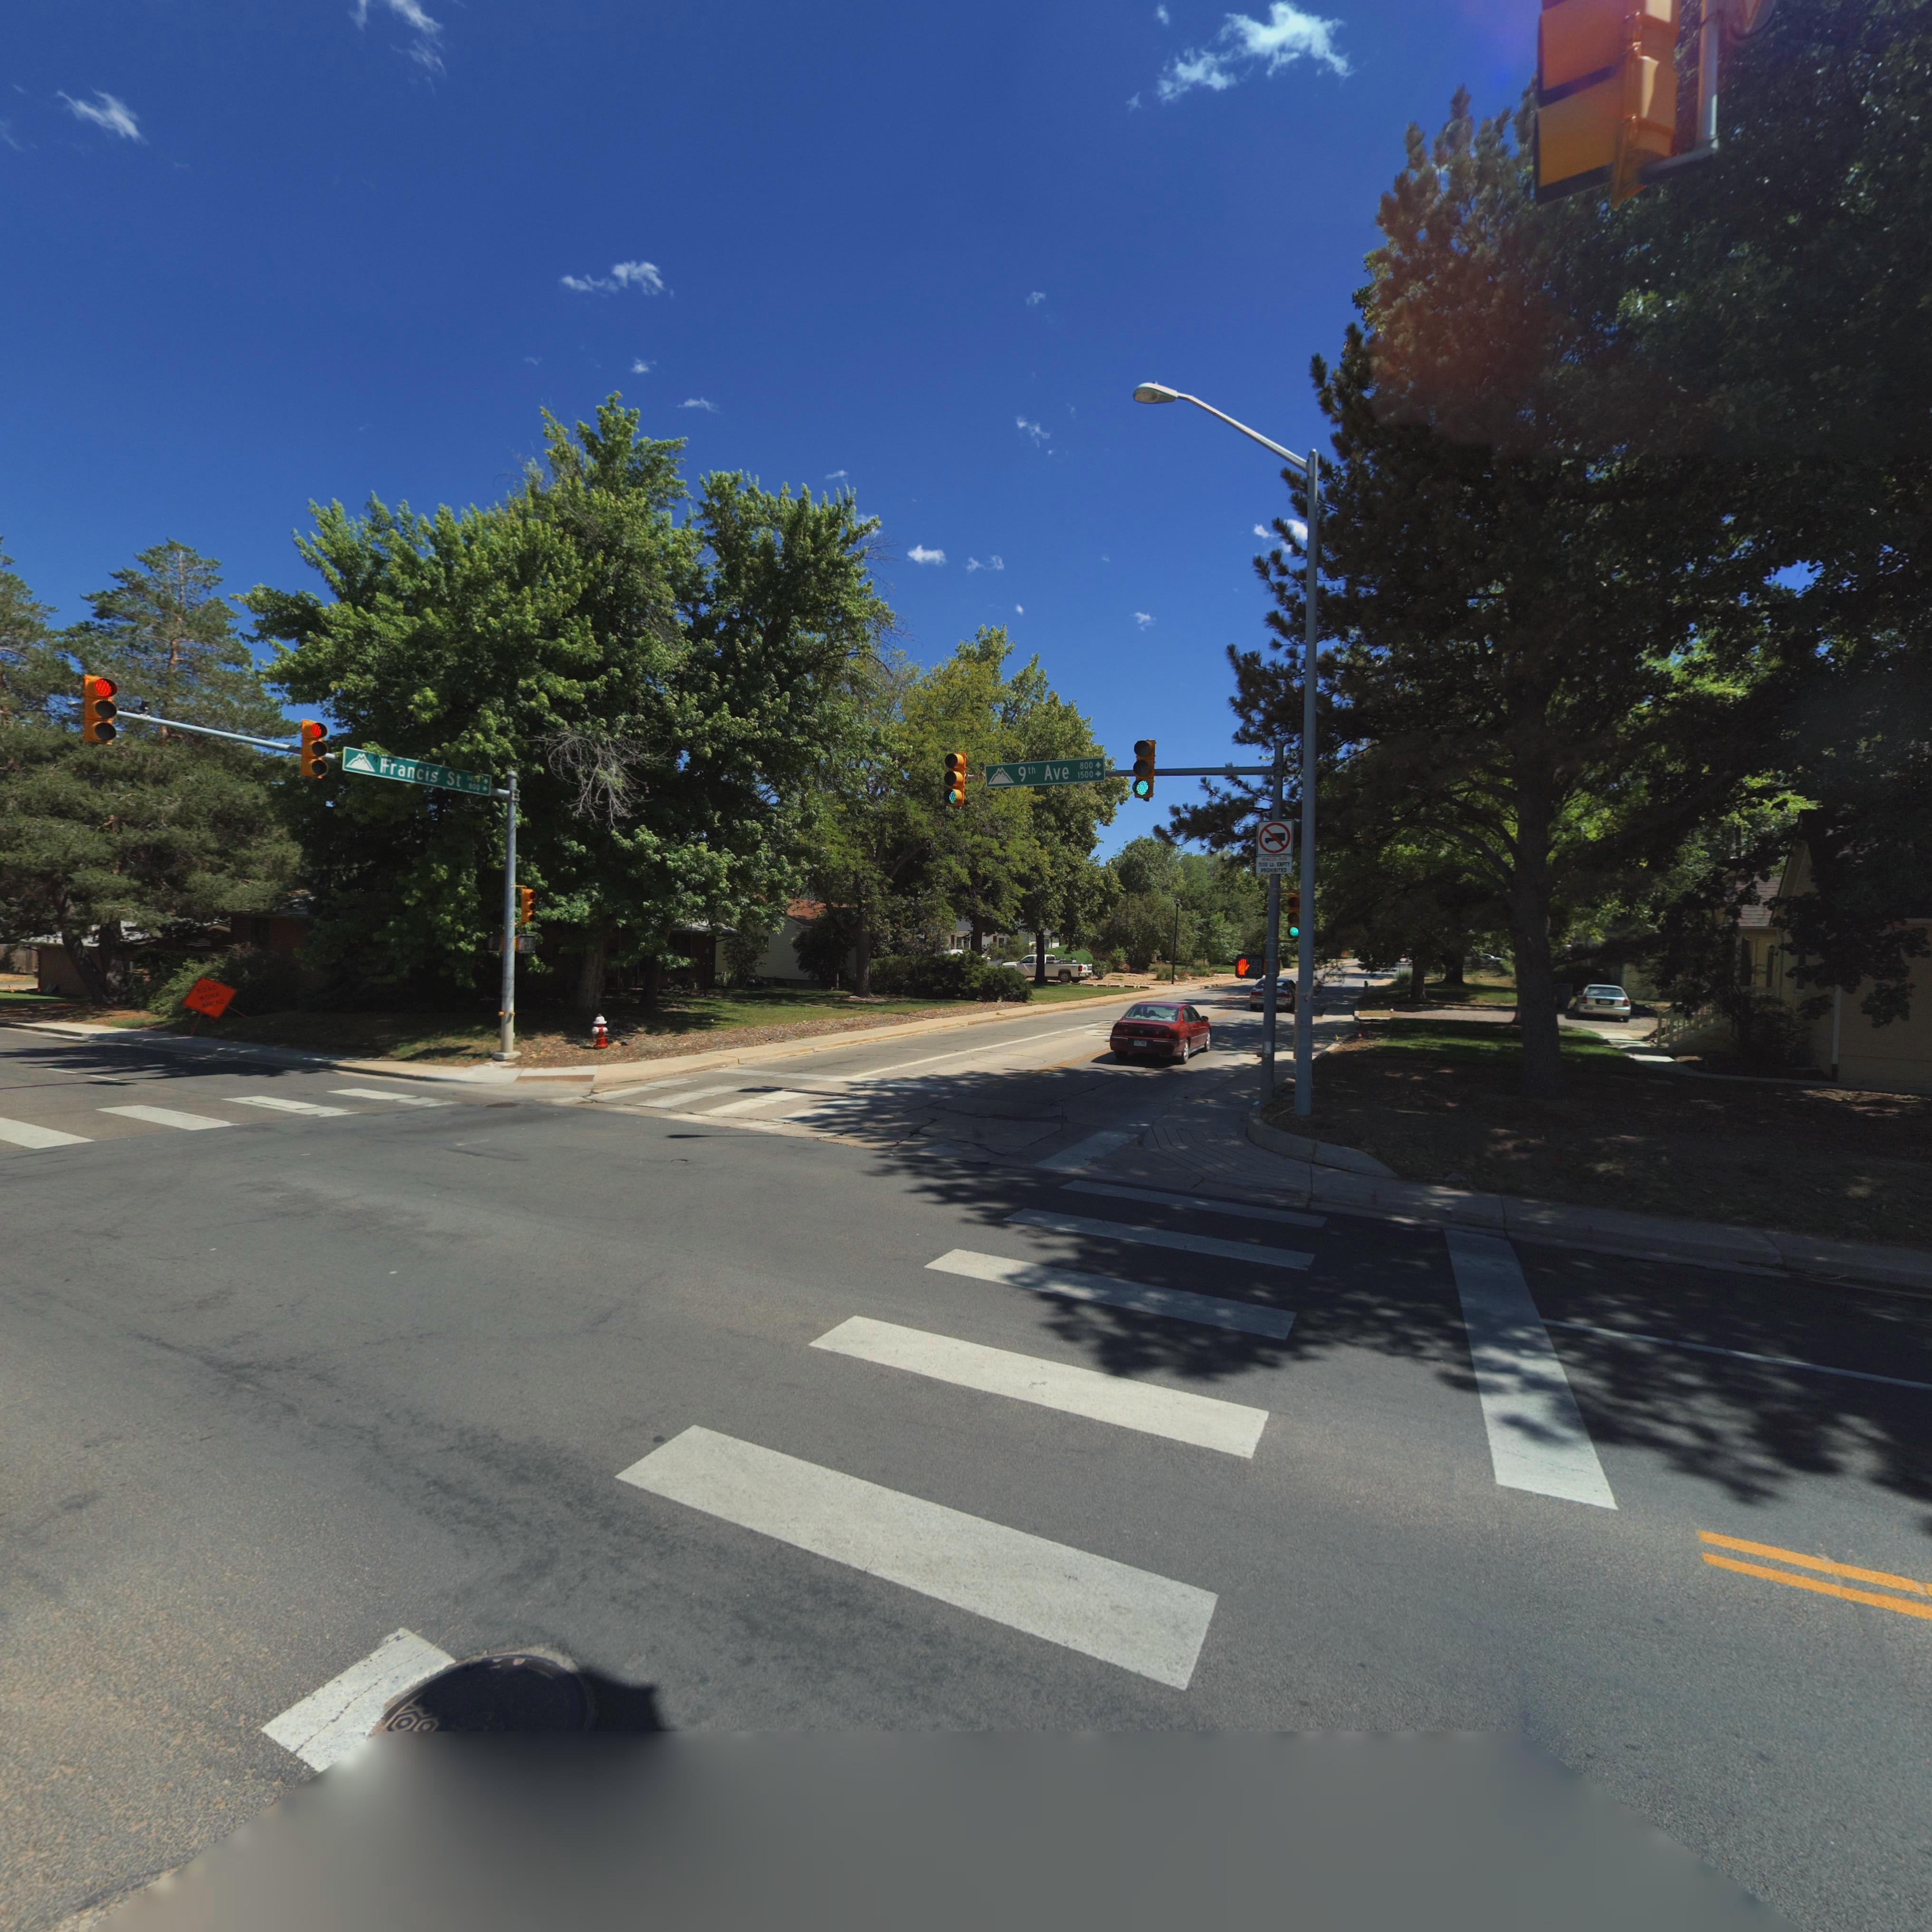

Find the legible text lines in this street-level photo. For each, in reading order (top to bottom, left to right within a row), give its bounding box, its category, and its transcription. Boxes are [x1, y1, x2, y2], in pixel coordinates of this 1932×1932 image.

[1080, 761, 1092, 769] StreetNumberRange: 800
[379, 757, 462, 787] StreetName: *Francis St
[467, 774, 480, 783] StreetNumberRange: 14**
[1018, 764, 1069, 782] StreetName: 9th Ave
[1077, 770, 1102, 779] StreetNumberRange: 1500->
[468, 782, 488, 791] StreetNumberRange: 800->